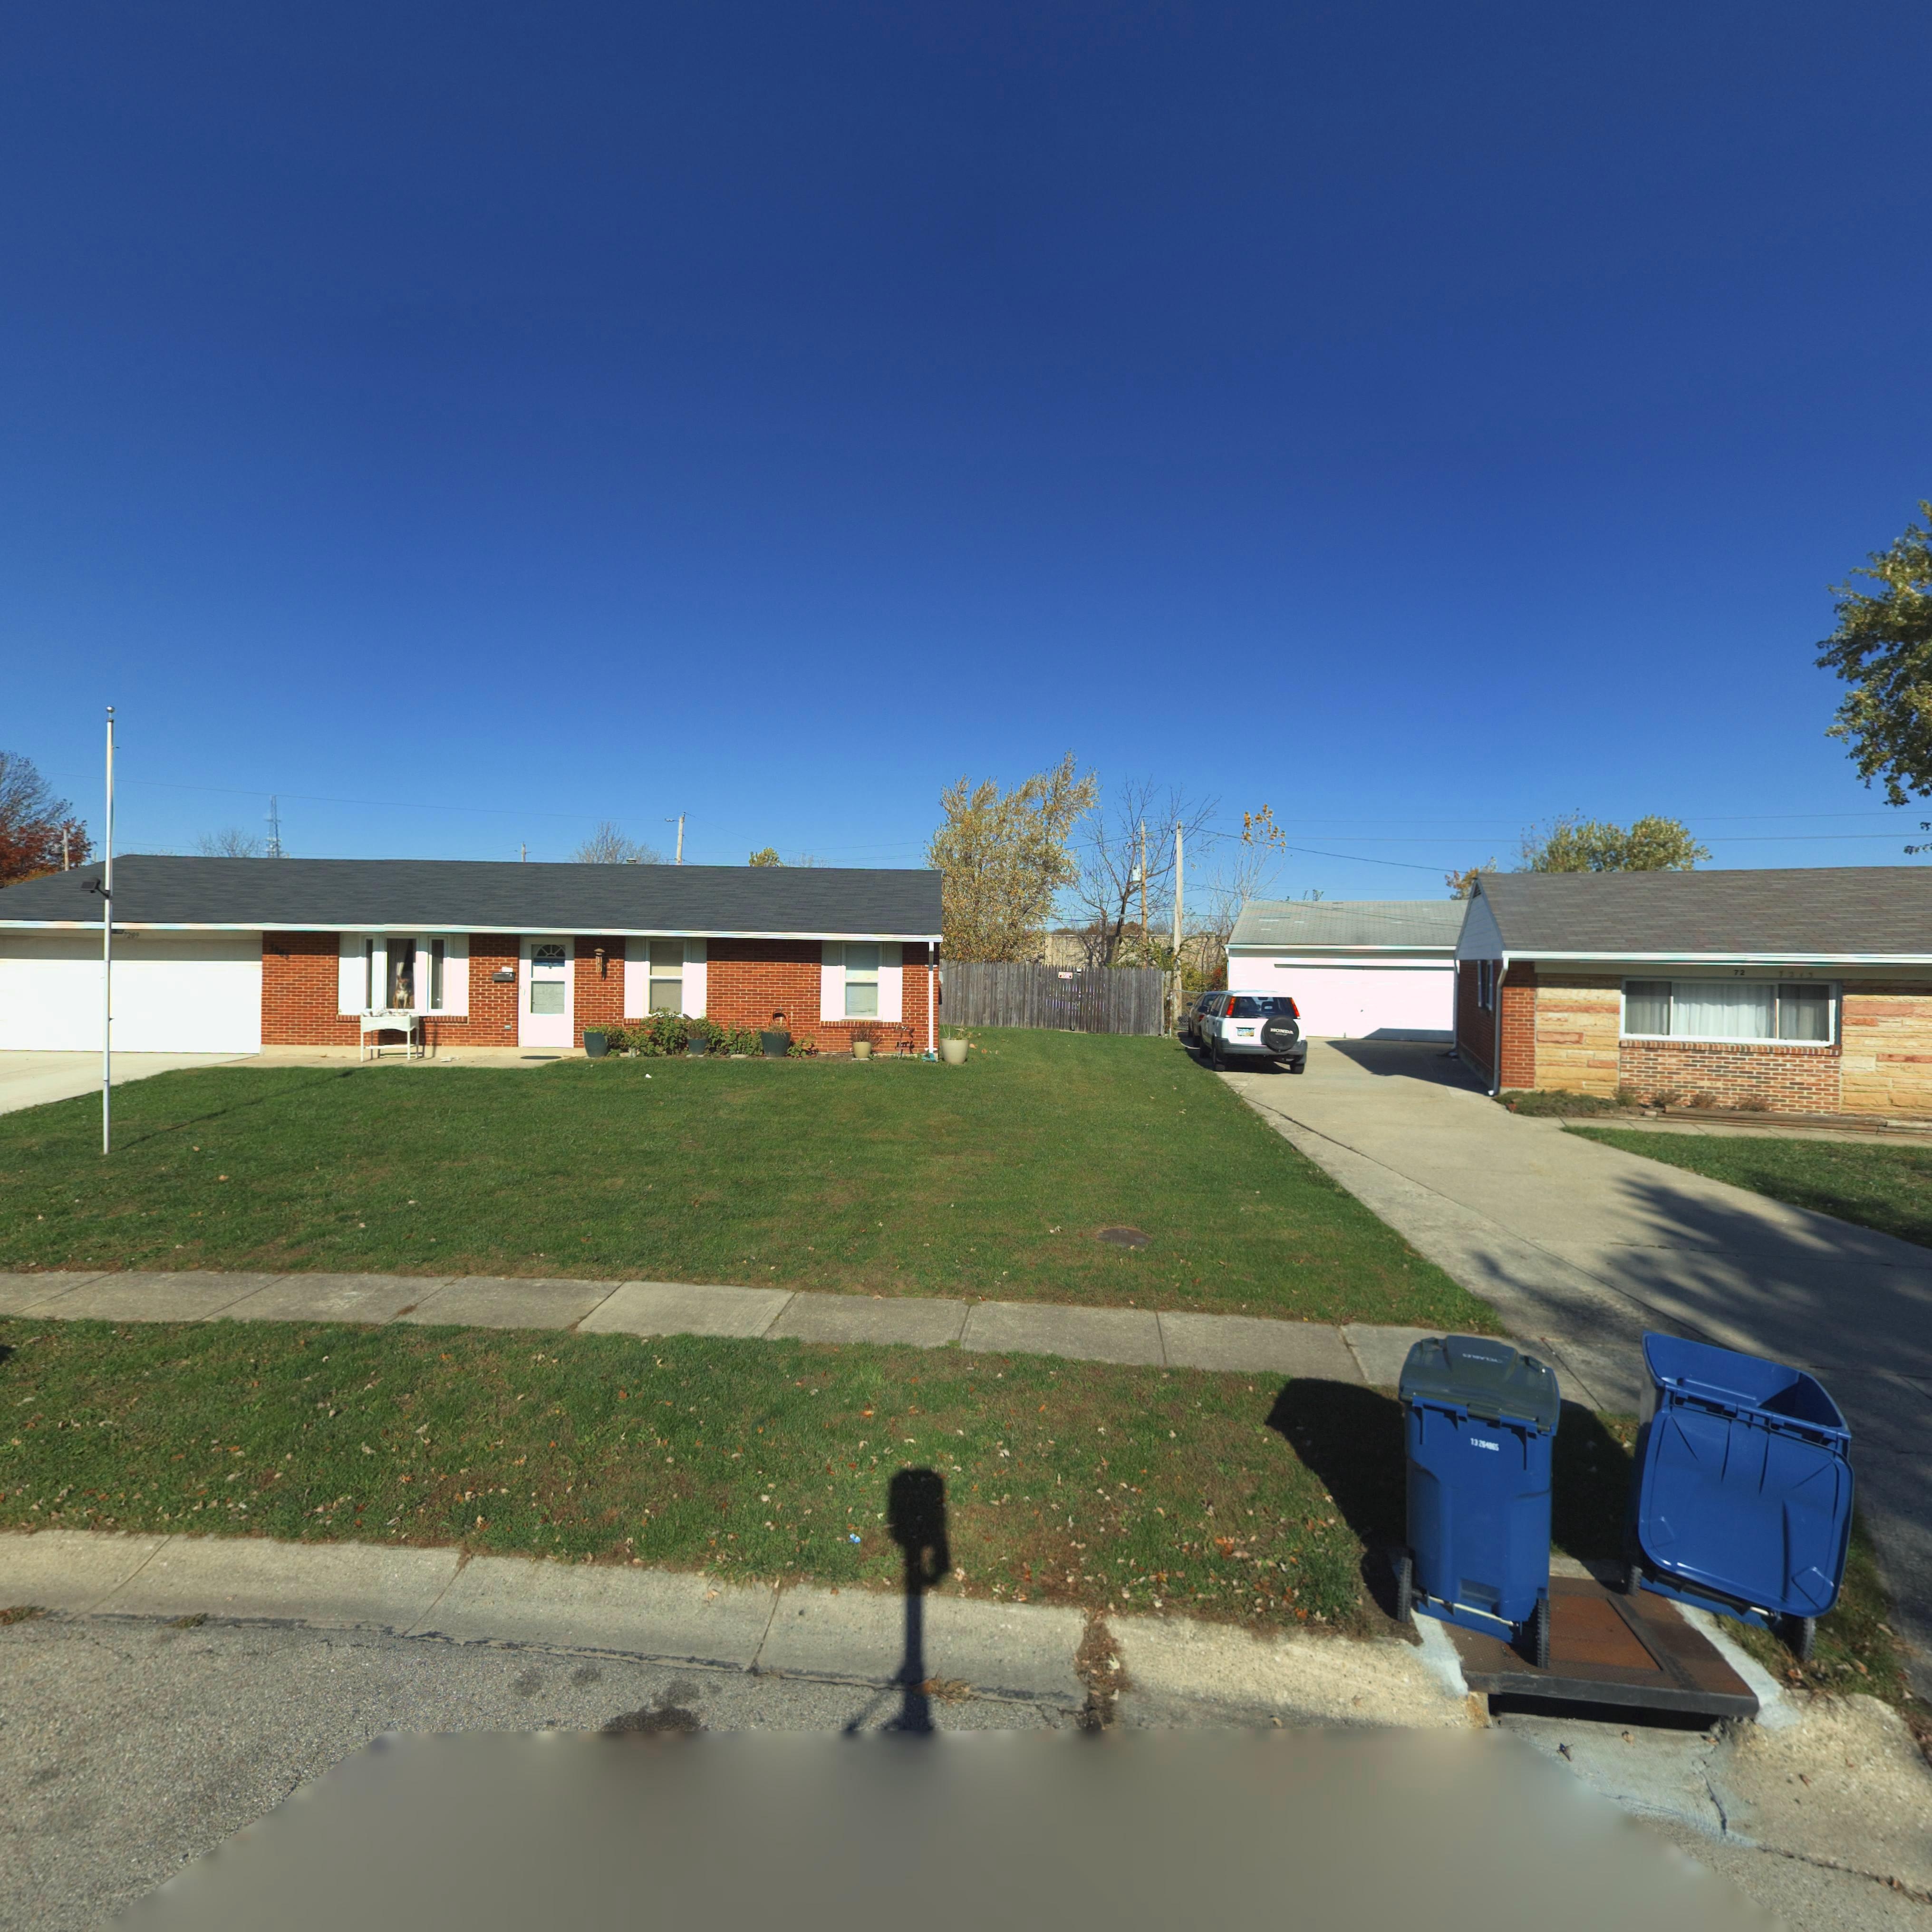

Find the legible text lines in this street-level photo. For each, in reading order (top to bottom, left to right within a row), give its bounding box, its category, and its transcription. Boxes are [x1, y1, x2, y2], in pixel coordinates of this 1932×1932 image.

[121, 931, 141, 940] StreetNumber: 7209
[1732, 968, 1747, 977] StreetNumber: 72
[1778, 969, 1814, 979] StreetNumber: 72**